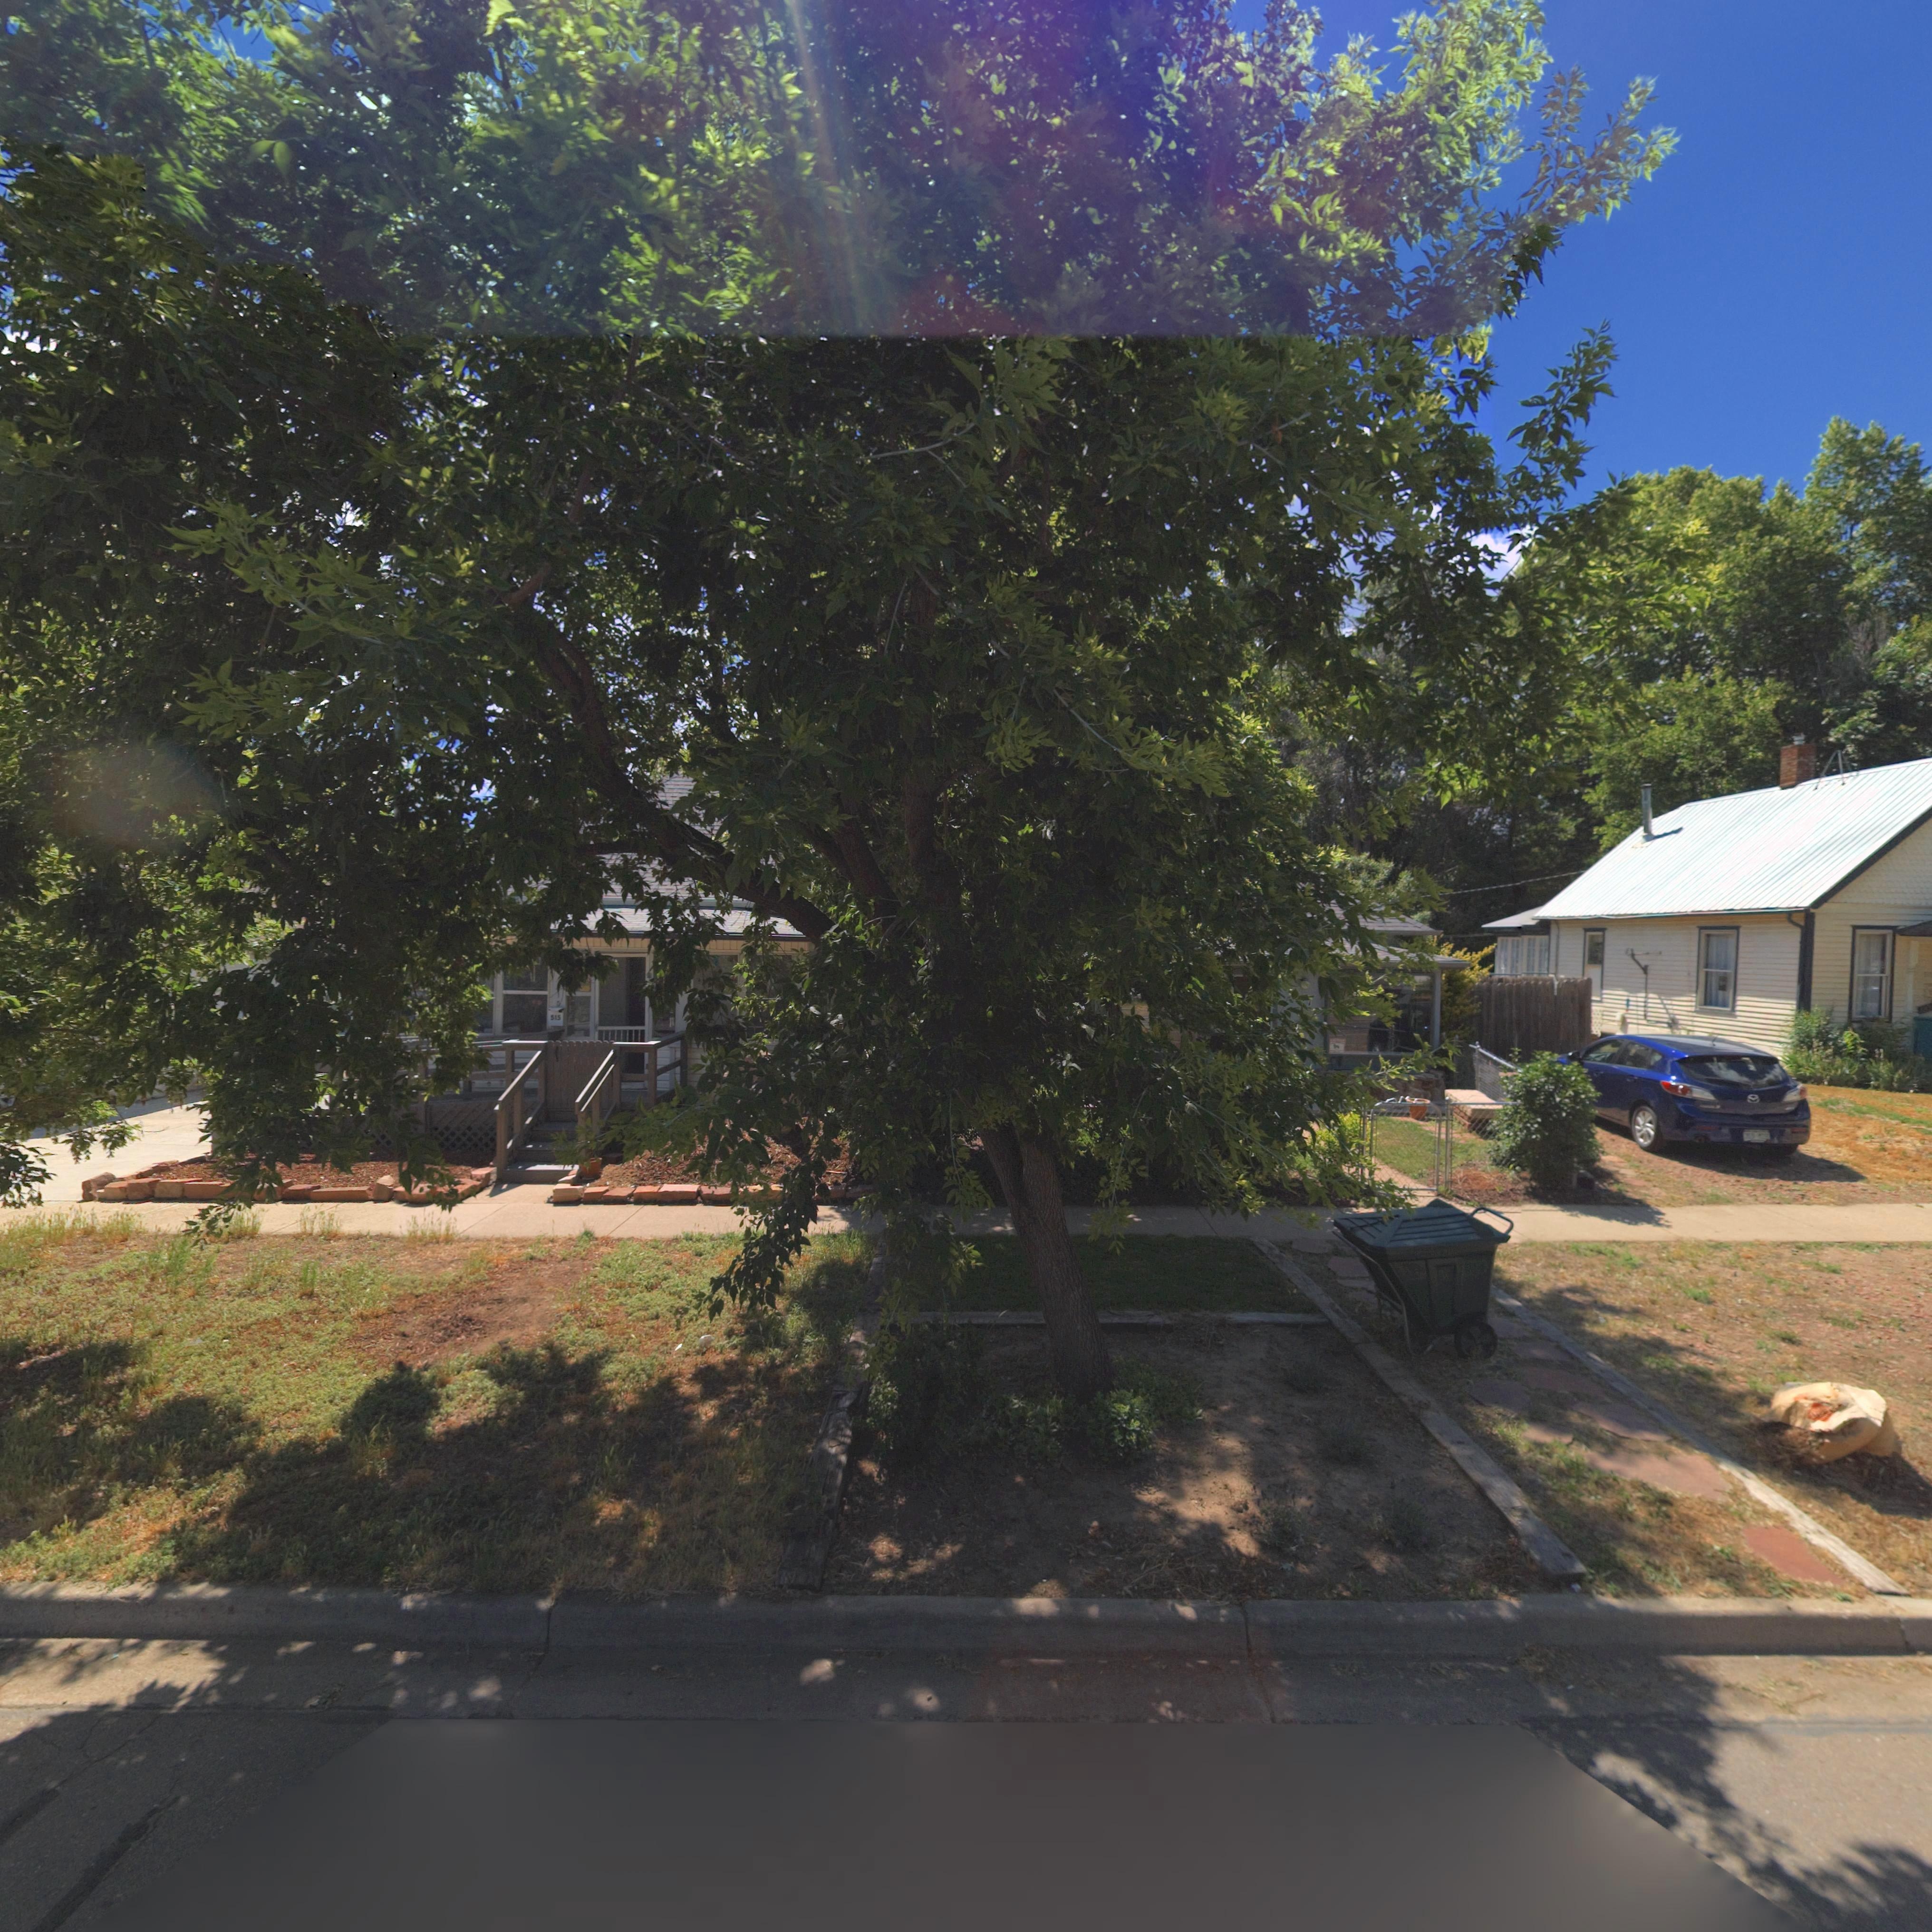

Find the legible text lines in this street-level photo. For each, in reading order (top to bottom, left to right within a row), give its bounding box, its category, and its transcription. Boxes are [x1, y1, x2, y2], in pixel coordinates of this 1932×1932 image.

[550, 1014, 561, 1020] StreetNumber: 515